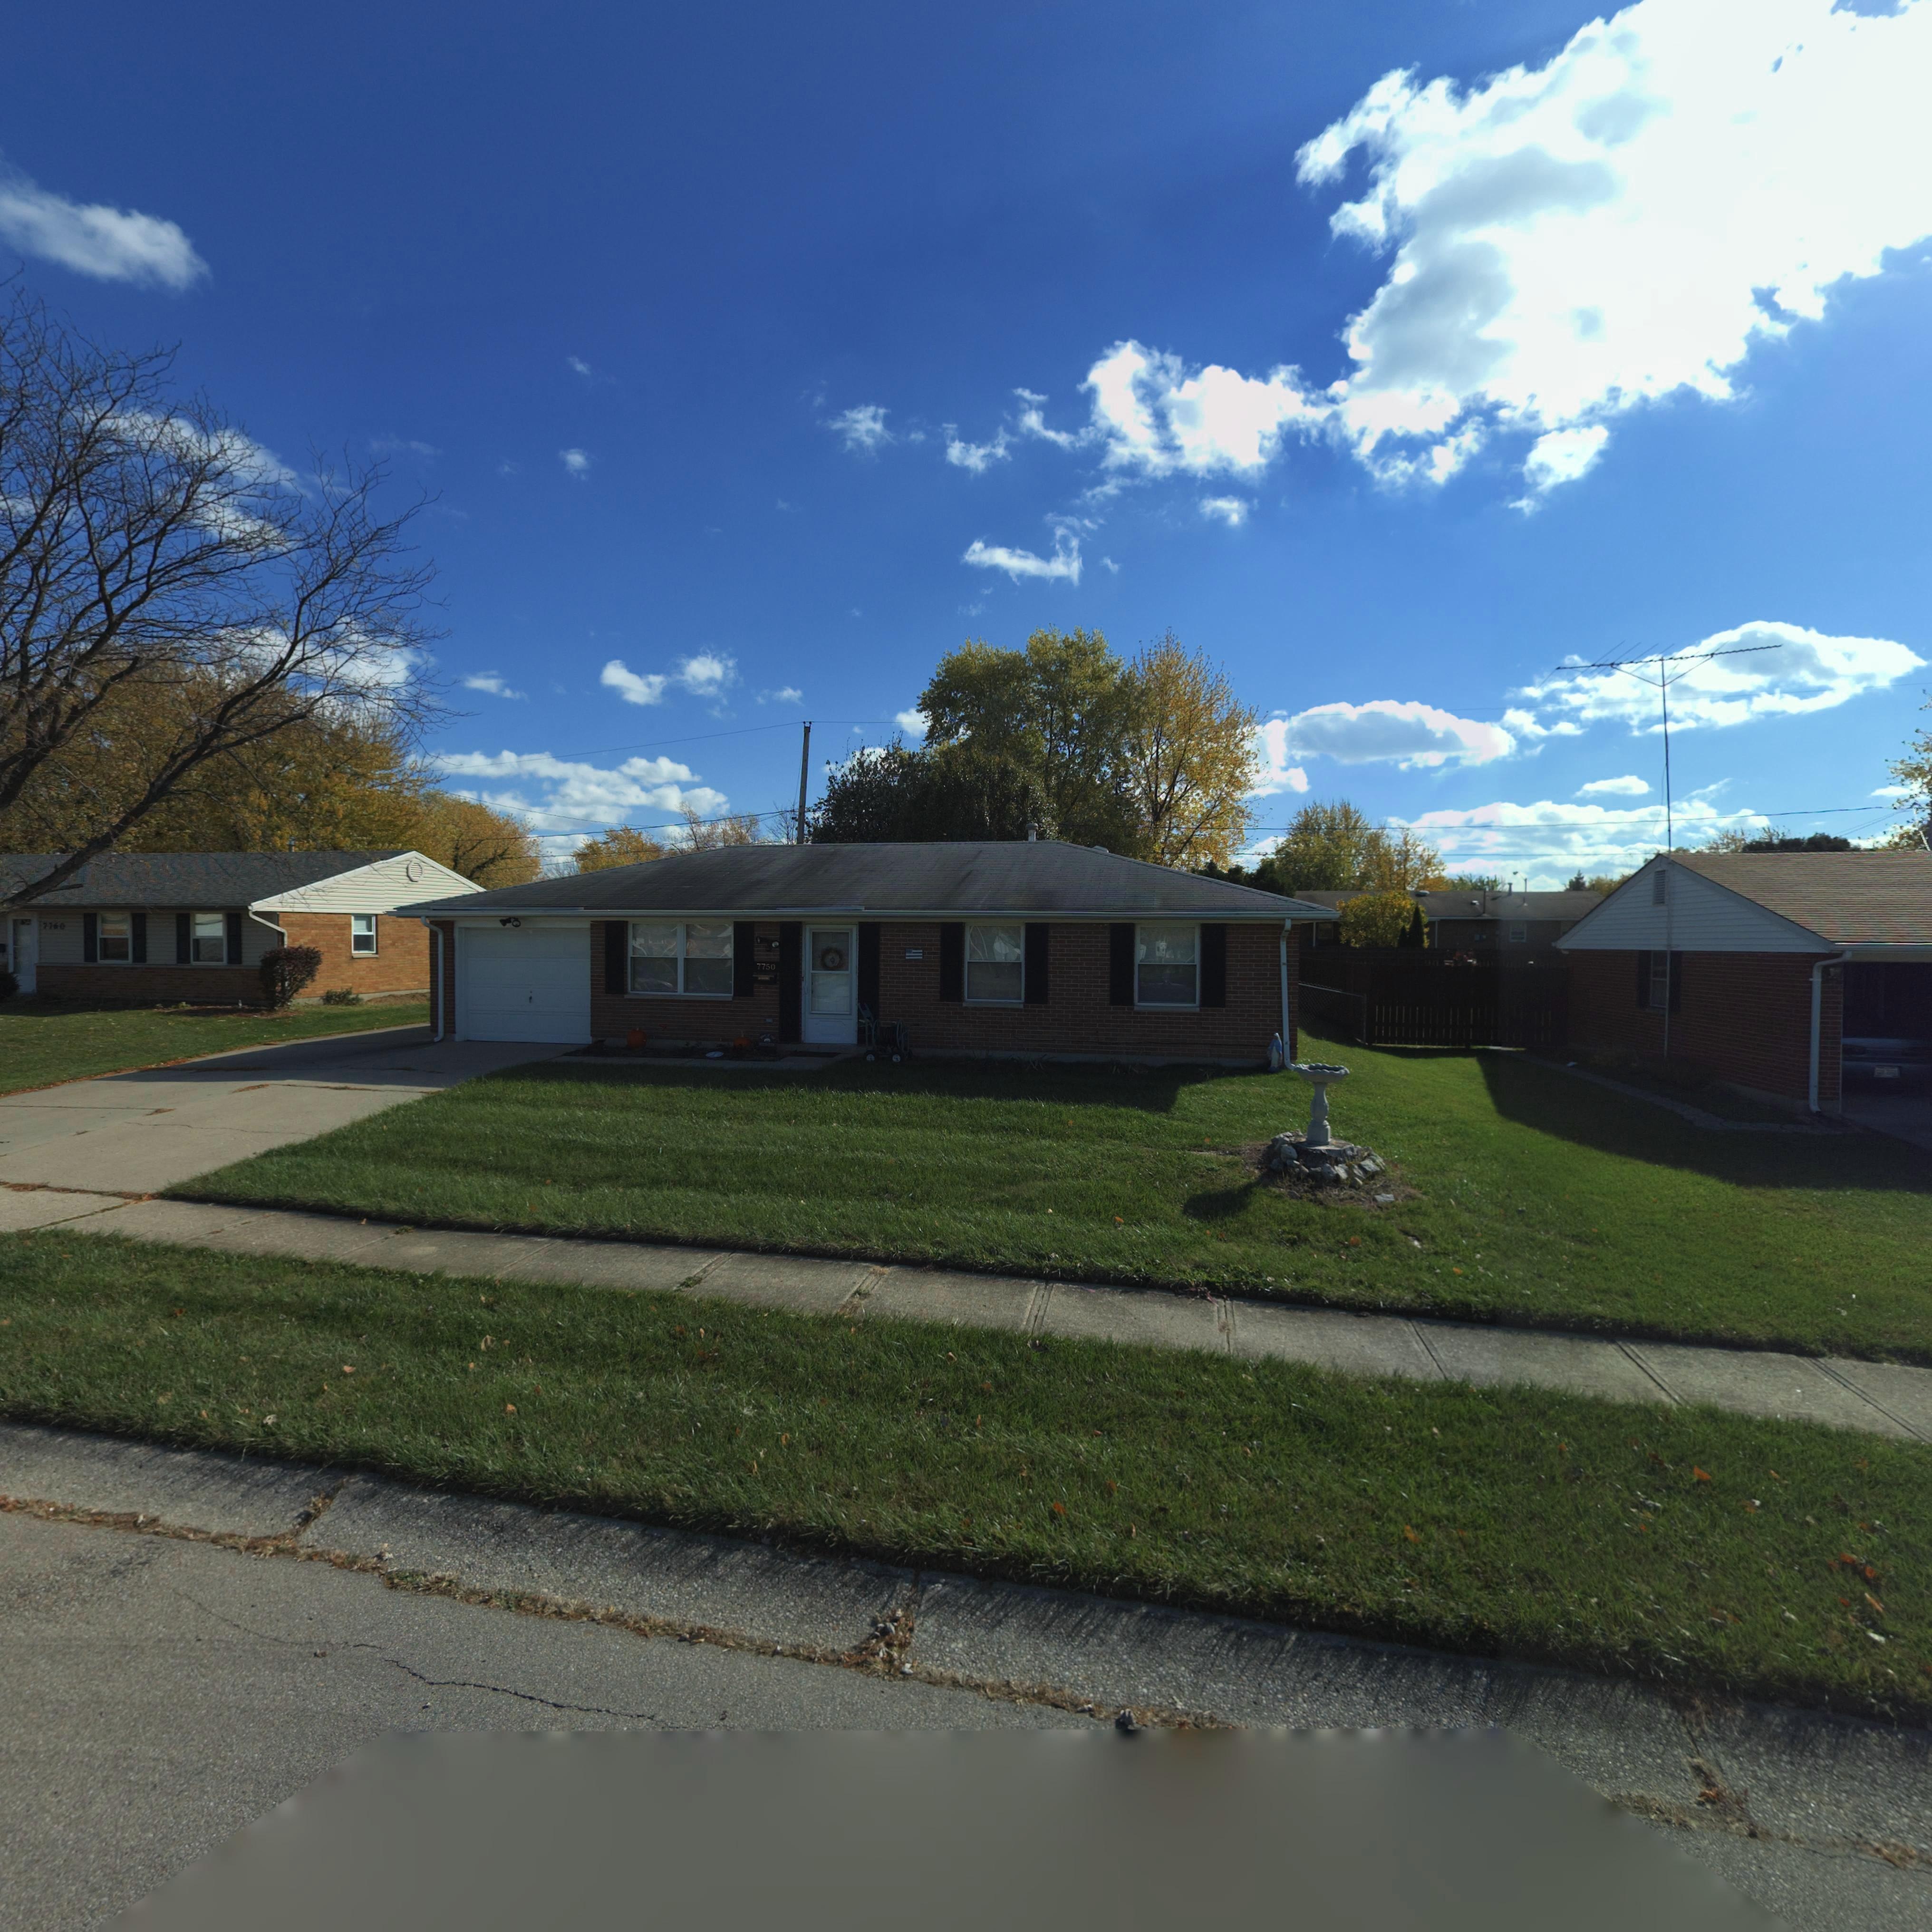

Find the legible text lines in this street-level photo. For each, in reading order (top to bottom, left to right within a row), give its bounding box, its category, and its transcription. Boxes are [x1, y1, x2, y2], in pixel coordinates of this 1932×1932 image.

[756, 963, 776, 970] StreetNumber: 7750